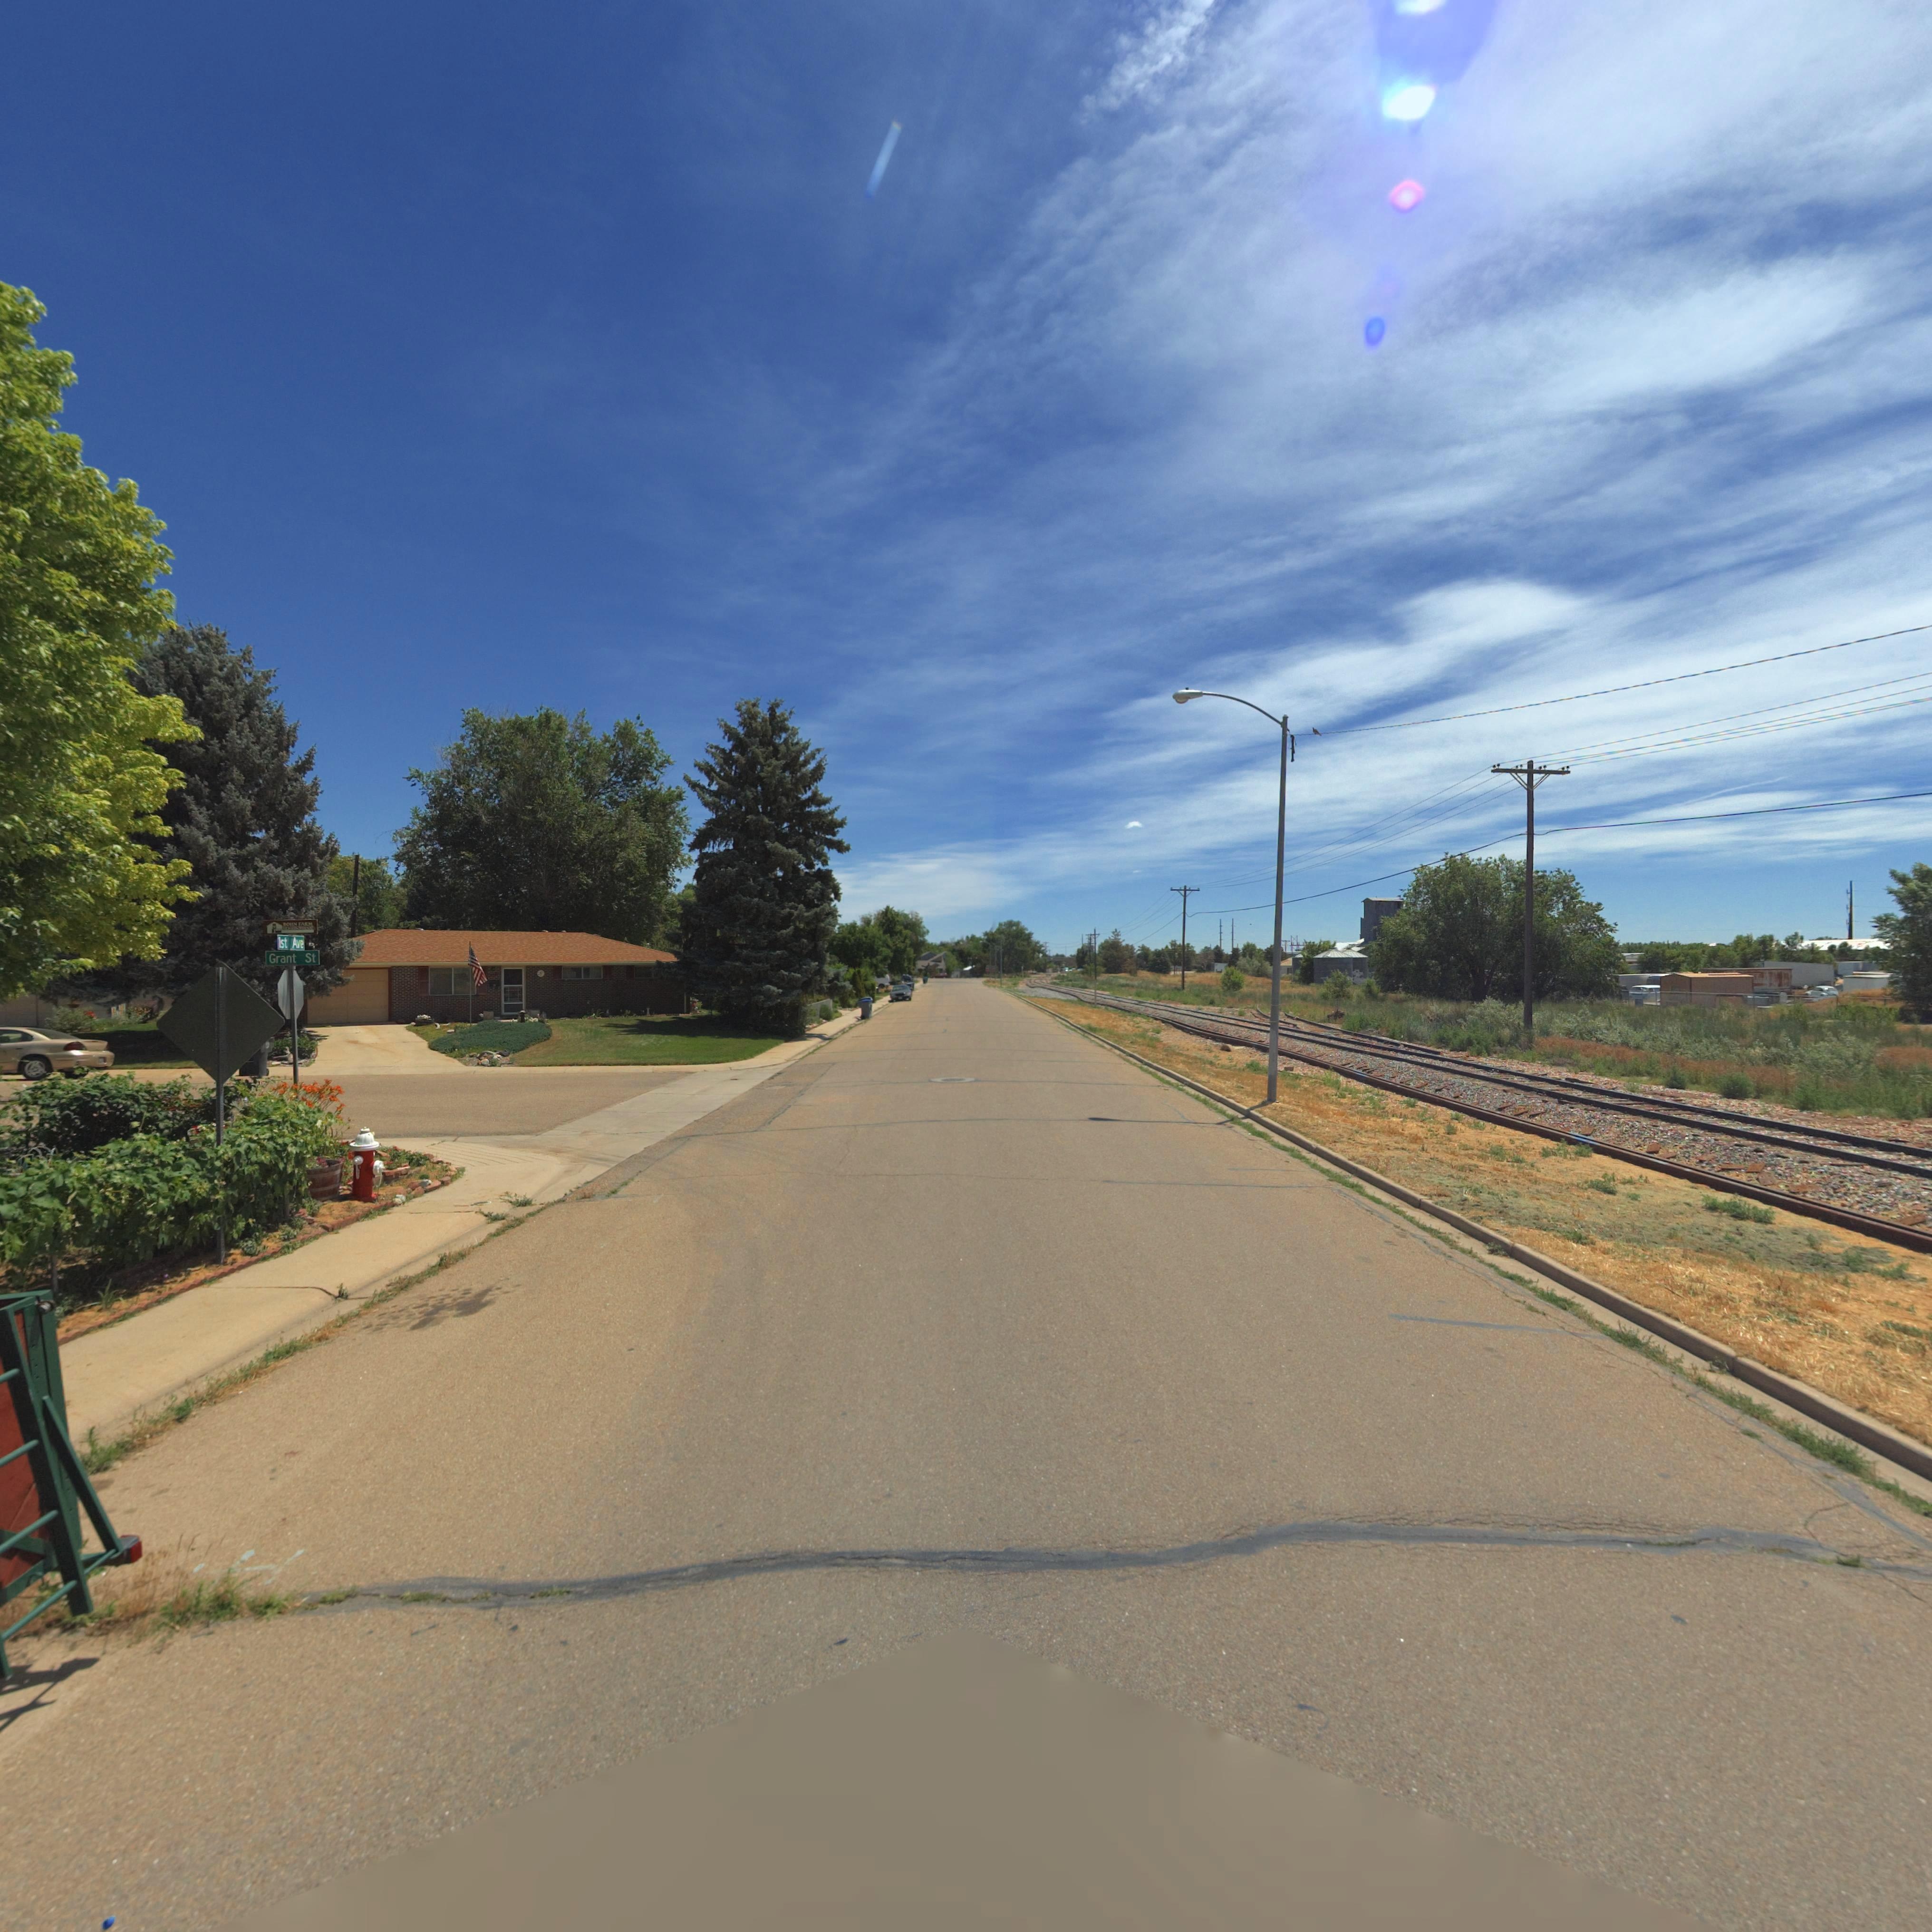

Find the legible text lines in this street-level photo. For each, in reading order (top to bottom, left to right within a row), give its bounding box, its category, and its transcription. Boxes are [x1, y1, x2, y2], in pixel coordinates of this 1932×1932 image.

[277, 936, 304, 948] StreetName: 1st Ave
[268, 952, 316, 964] StreetName: Grant St